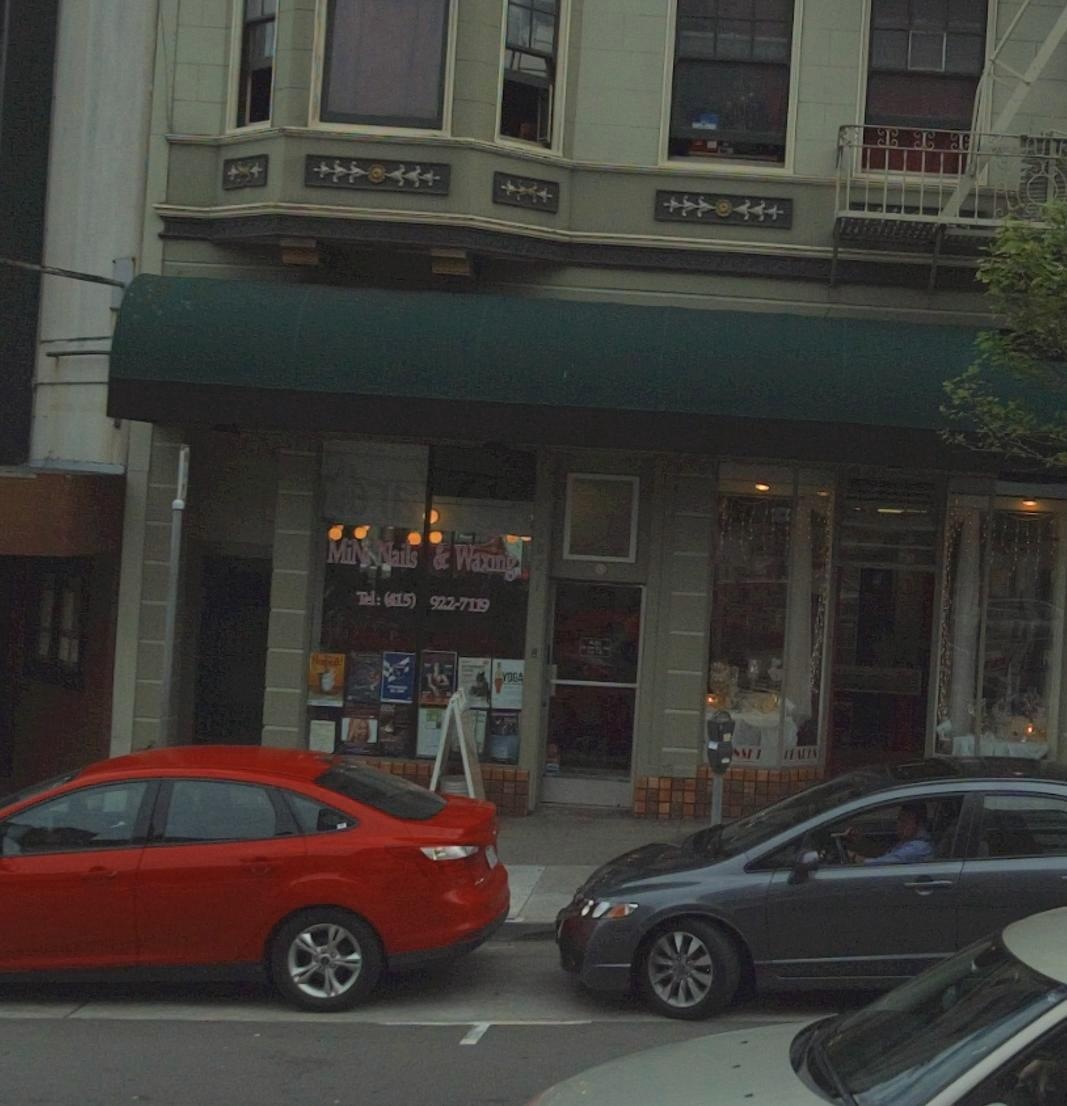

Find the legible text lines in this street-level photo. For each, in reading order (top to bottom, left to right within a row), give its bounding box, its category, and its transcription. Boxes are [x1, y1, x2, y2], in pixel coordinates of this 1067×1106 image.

[325, 536, 518, 583] BusinessName: MiNi Nails & Waxing
[531, 520, 549, 593] StreetNumber: 1621
[355, 590, 490, 613] None: Tel:(415) 922-7119
[501, 671, 525, 683] None: YOGA